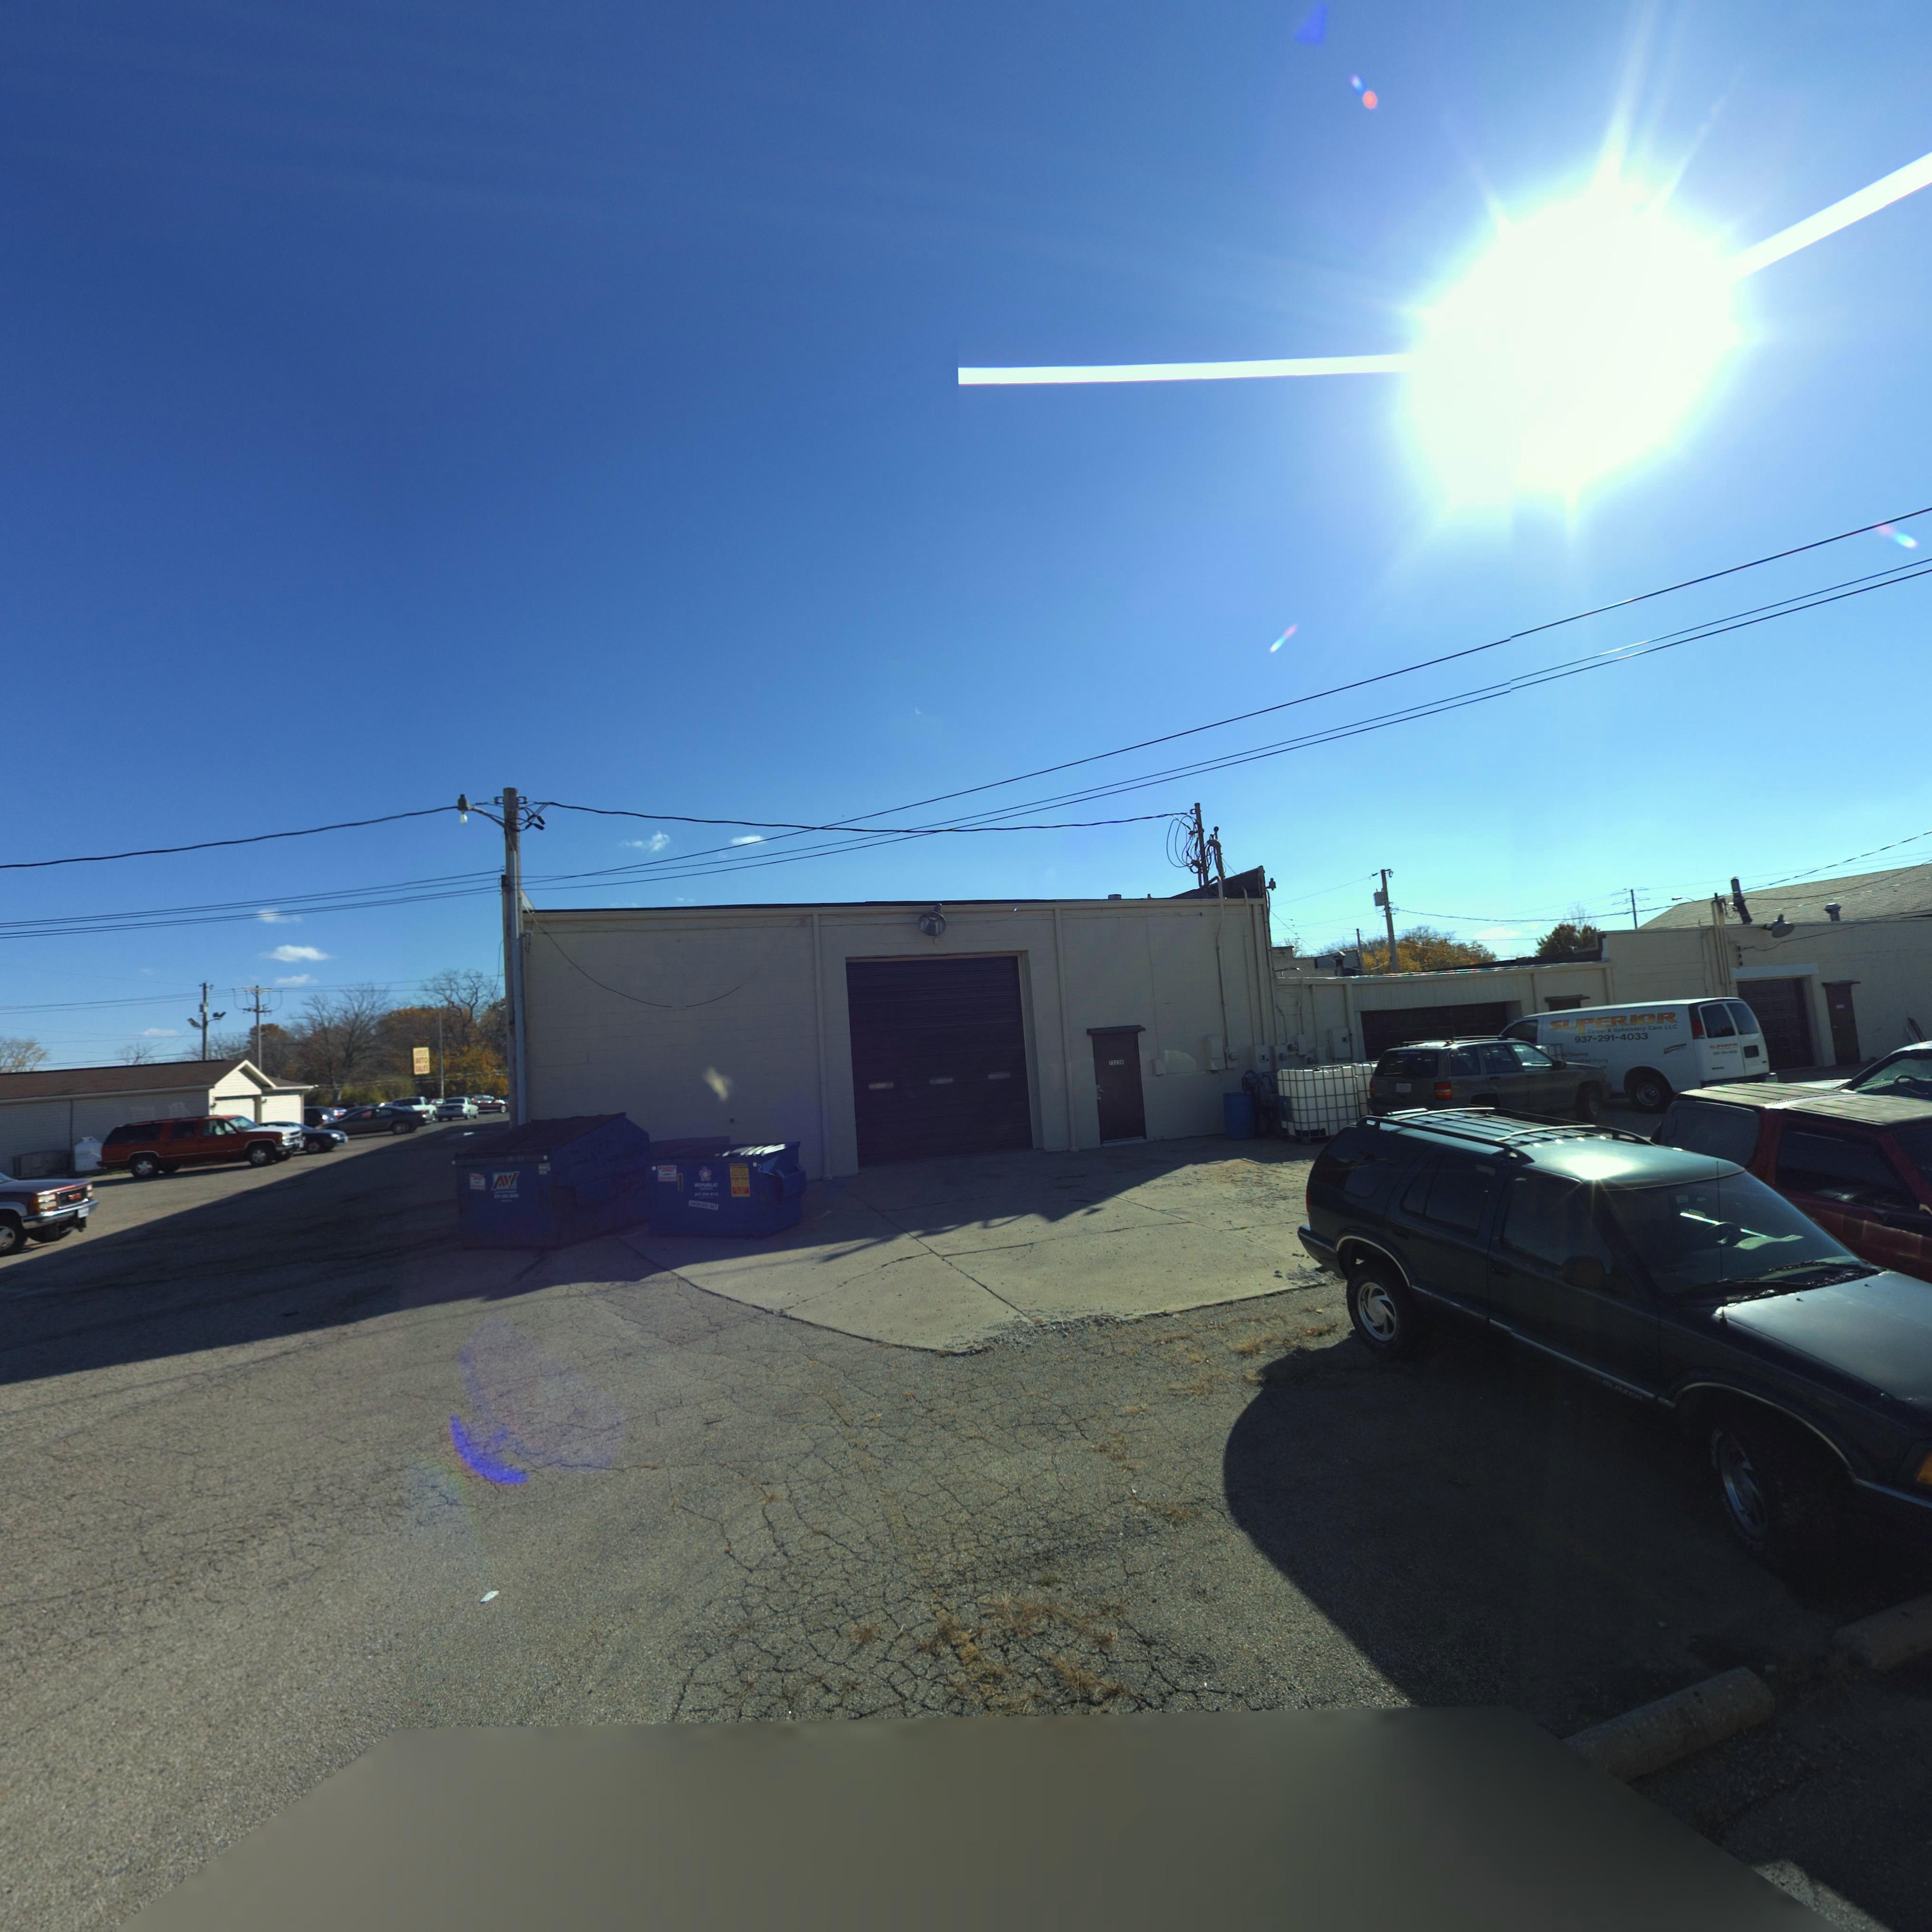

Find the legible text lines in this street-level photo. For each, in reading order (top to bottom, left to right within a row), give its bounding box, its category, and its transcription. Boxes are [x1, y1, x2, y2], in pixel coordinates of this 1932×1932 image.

[1109, 1059, 1121, 1065] StreetNumber: 7525